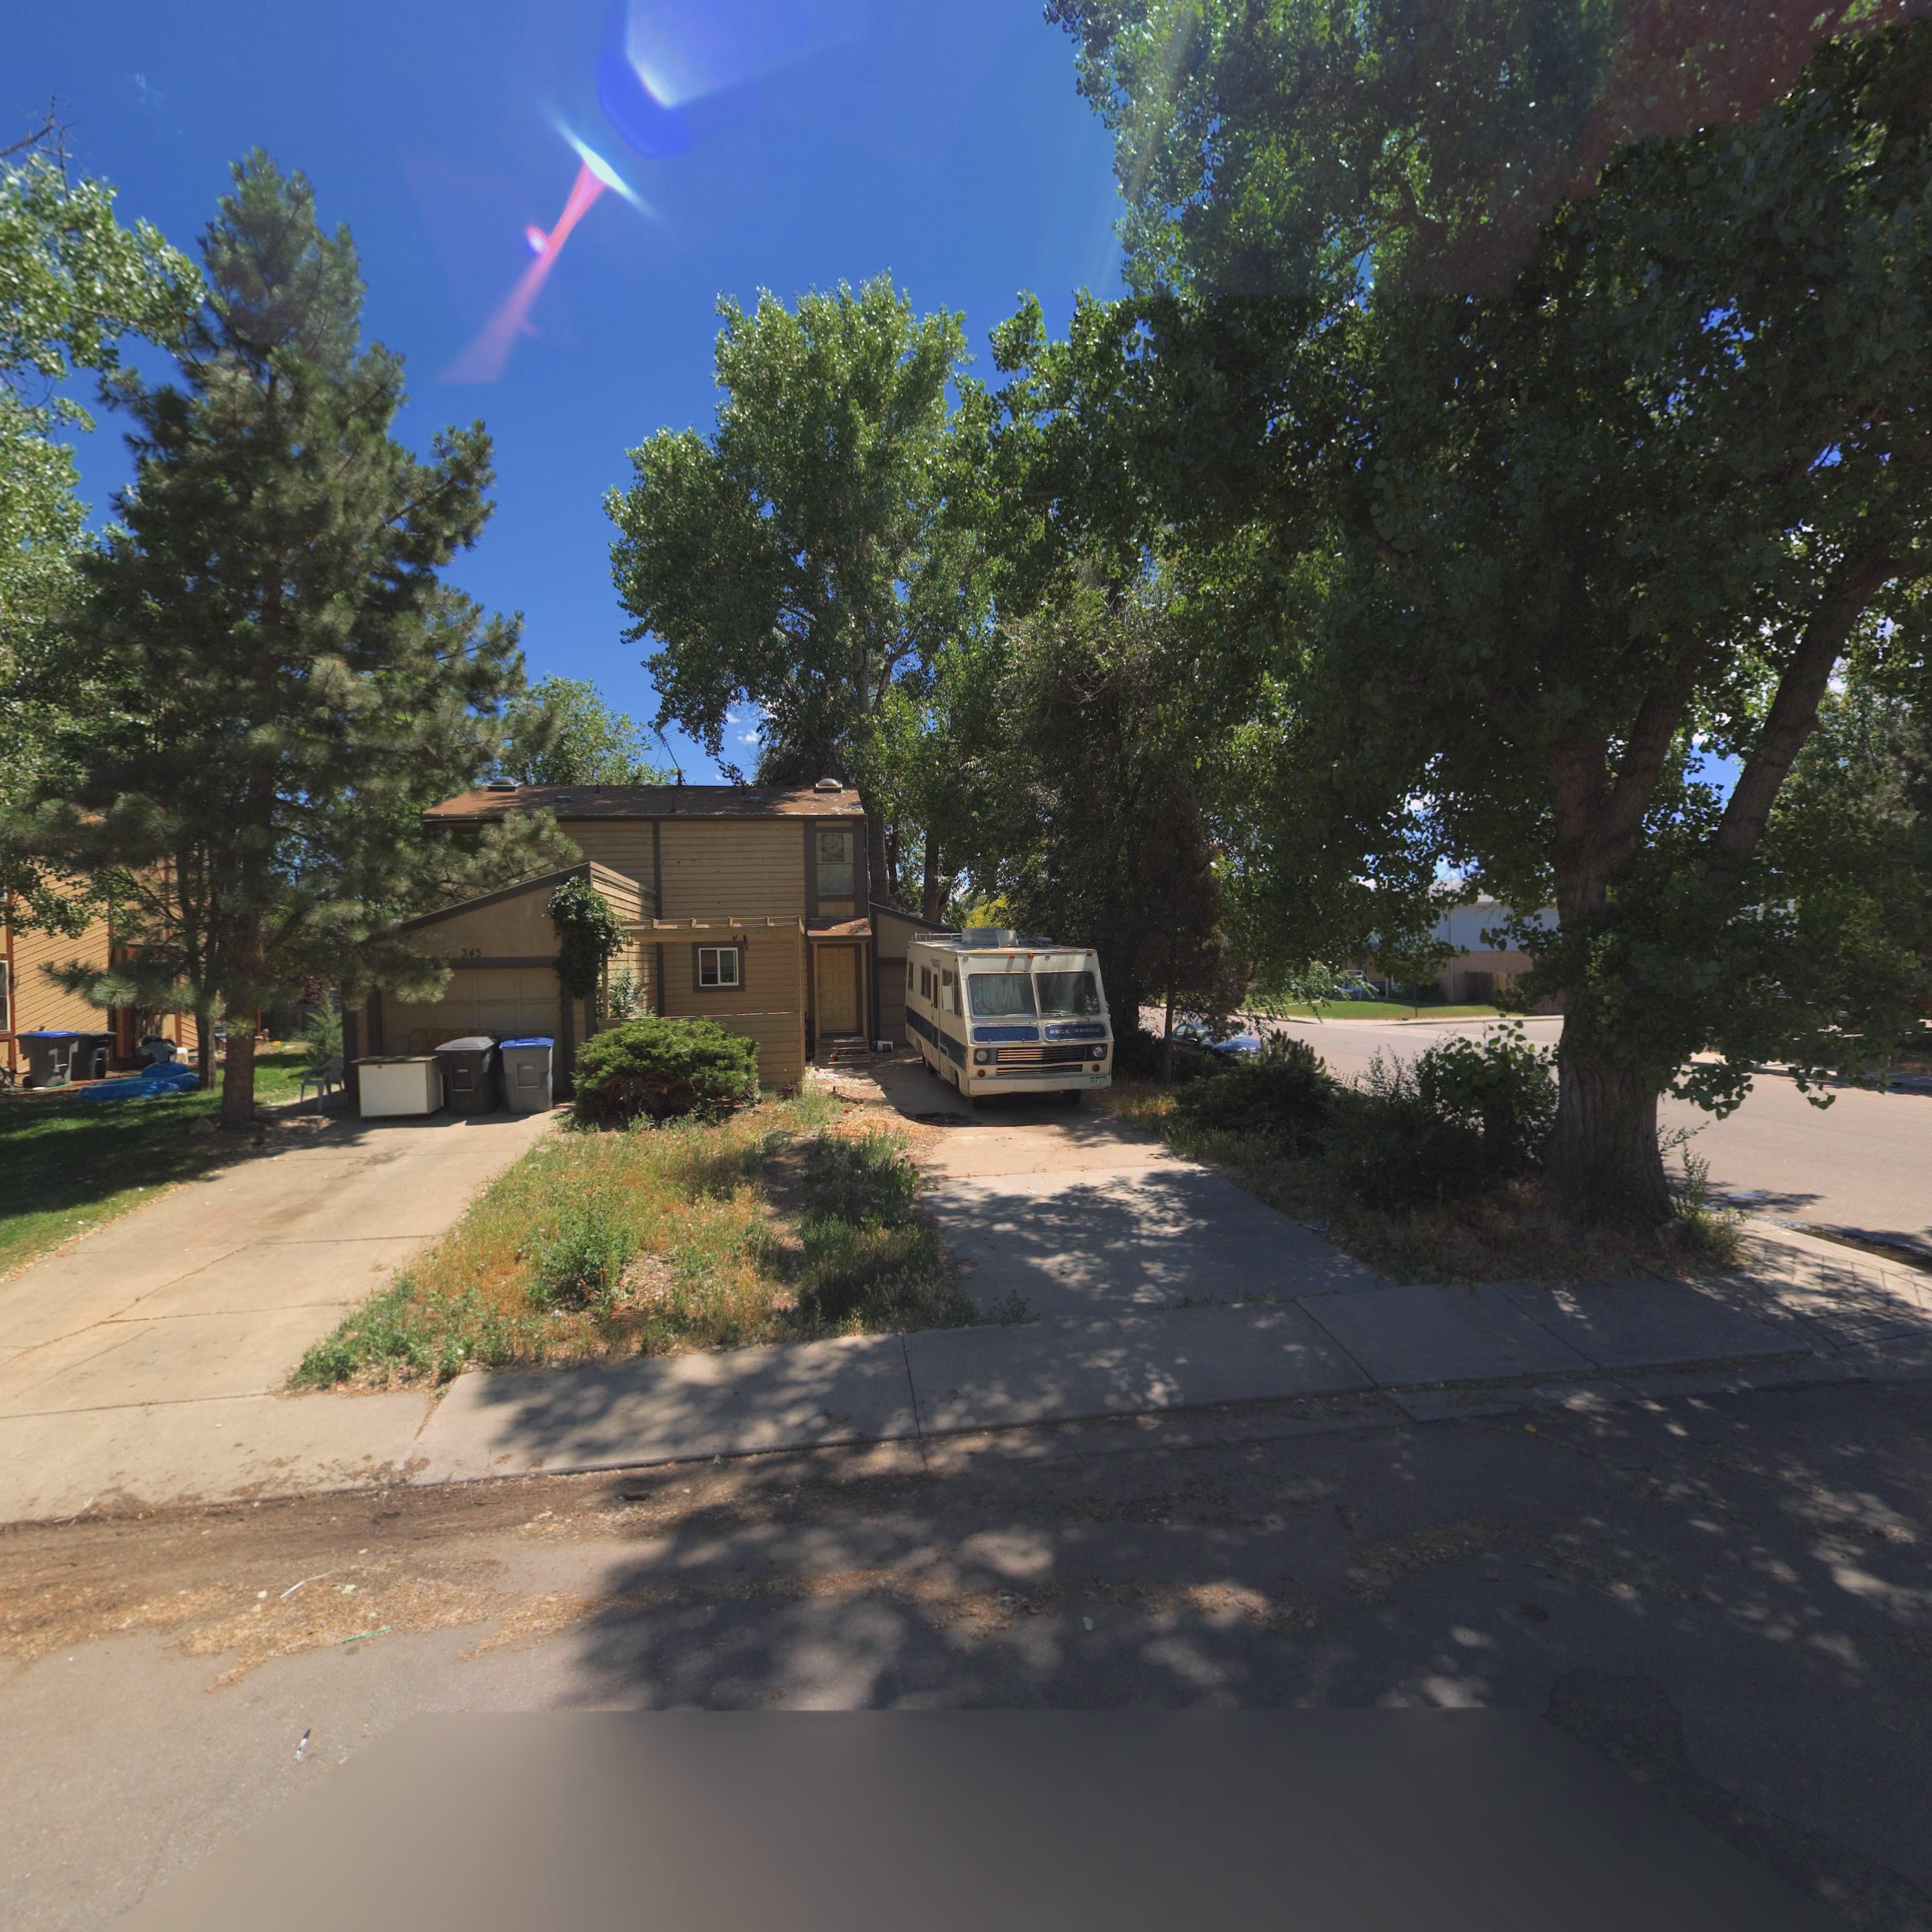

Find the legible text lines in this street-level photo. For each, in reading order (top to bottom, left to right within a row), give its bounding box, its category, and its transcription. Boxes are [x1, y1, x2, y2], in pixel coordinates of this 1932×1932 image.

[461, 948, 482, 957] StreetNumber: 345